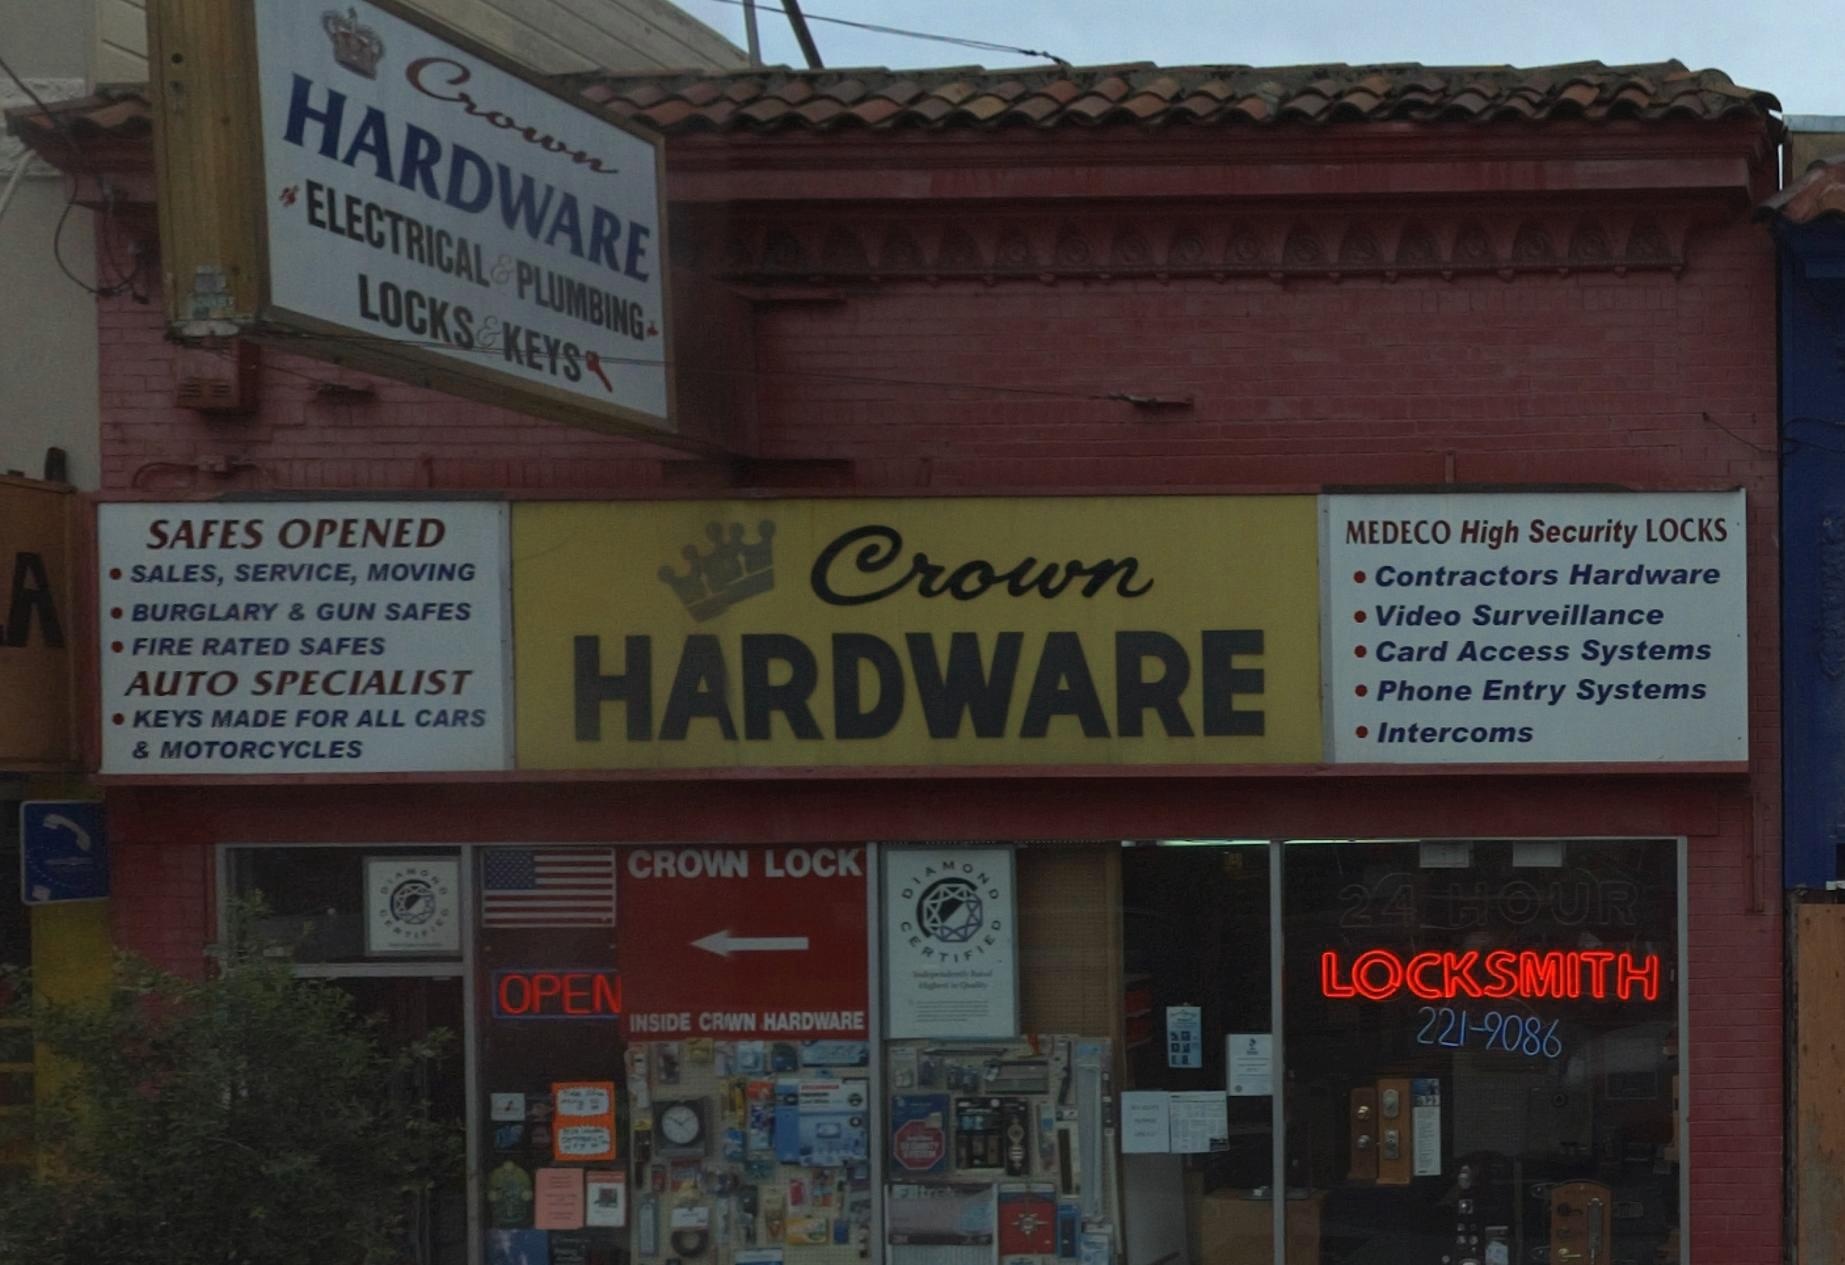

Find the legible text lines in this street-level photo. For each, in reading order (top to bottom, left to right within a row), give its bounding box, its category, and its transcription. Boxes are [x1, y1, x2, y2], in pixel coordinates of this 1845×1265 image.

[402, 54, 623, 176] BusinessName: Crown
[279, 66, 652, 288] BusinessName: HARDWARE
[302, 172, 647, 346] None: ELECTRICAL & PLUMBING
[355, 269, 583, 387] None: LOCKS & KEYS
[144, 516, 449, 551] None: SAFES OPENED
[1344, 514, 1729, 551] None: MEDECO High Security LOCKS
[126, 561, 478, 588] None: SALES, SERVICE, MOVING
[807, 520, 1164, 611] BusinessName: Crown
[1373, 562, 1724, 590] None: Contractors Hardware
[129, 600, 477, 624] None: BURGLARY & GUN SAFES
[1371, 602, 1667, 628] None: Video Surveillance
[129, 635, 388, 658] None: FIRE RATED SAFES
[1374, 637, 1714, 669] None: Card Access Systems
[120, 668, 475, 698] None: AUTO SPECIALIST
[568, 624, 1270, 746] BusinessName: HARDWARE
[1374, 677, 1710, 708] None: Phone Entry Systems
[127, 737, 365, 761] None: & MOTORCYCLES
[130, 707, 489, 730] None: KEYS MADE FOR ALL CARS
[1374, 719, 1536, 745] None: Intercoms
[379, 866, 449, 896] None: DIAMOND
[623, 845, 865, 881] None: CROWN LOCK
[898, 859, 1002, 902] None: DIAMOND
[1336, 879, 1641, 930] None: 24 HOUR
[377, 907, 450, 941] None: CERTIFIED
[898, 919, 1002, 966] None: CERTIFIED
[1317, 946, 1662, 1004] None: LOCKSMITH
[496, 970, 625, 1019] None: OPEN
[628, 1008, 867, 1035] None: INSIDE CROWN HARDWARE
[1413, 1001, 1566, 1062] None: 221-9086